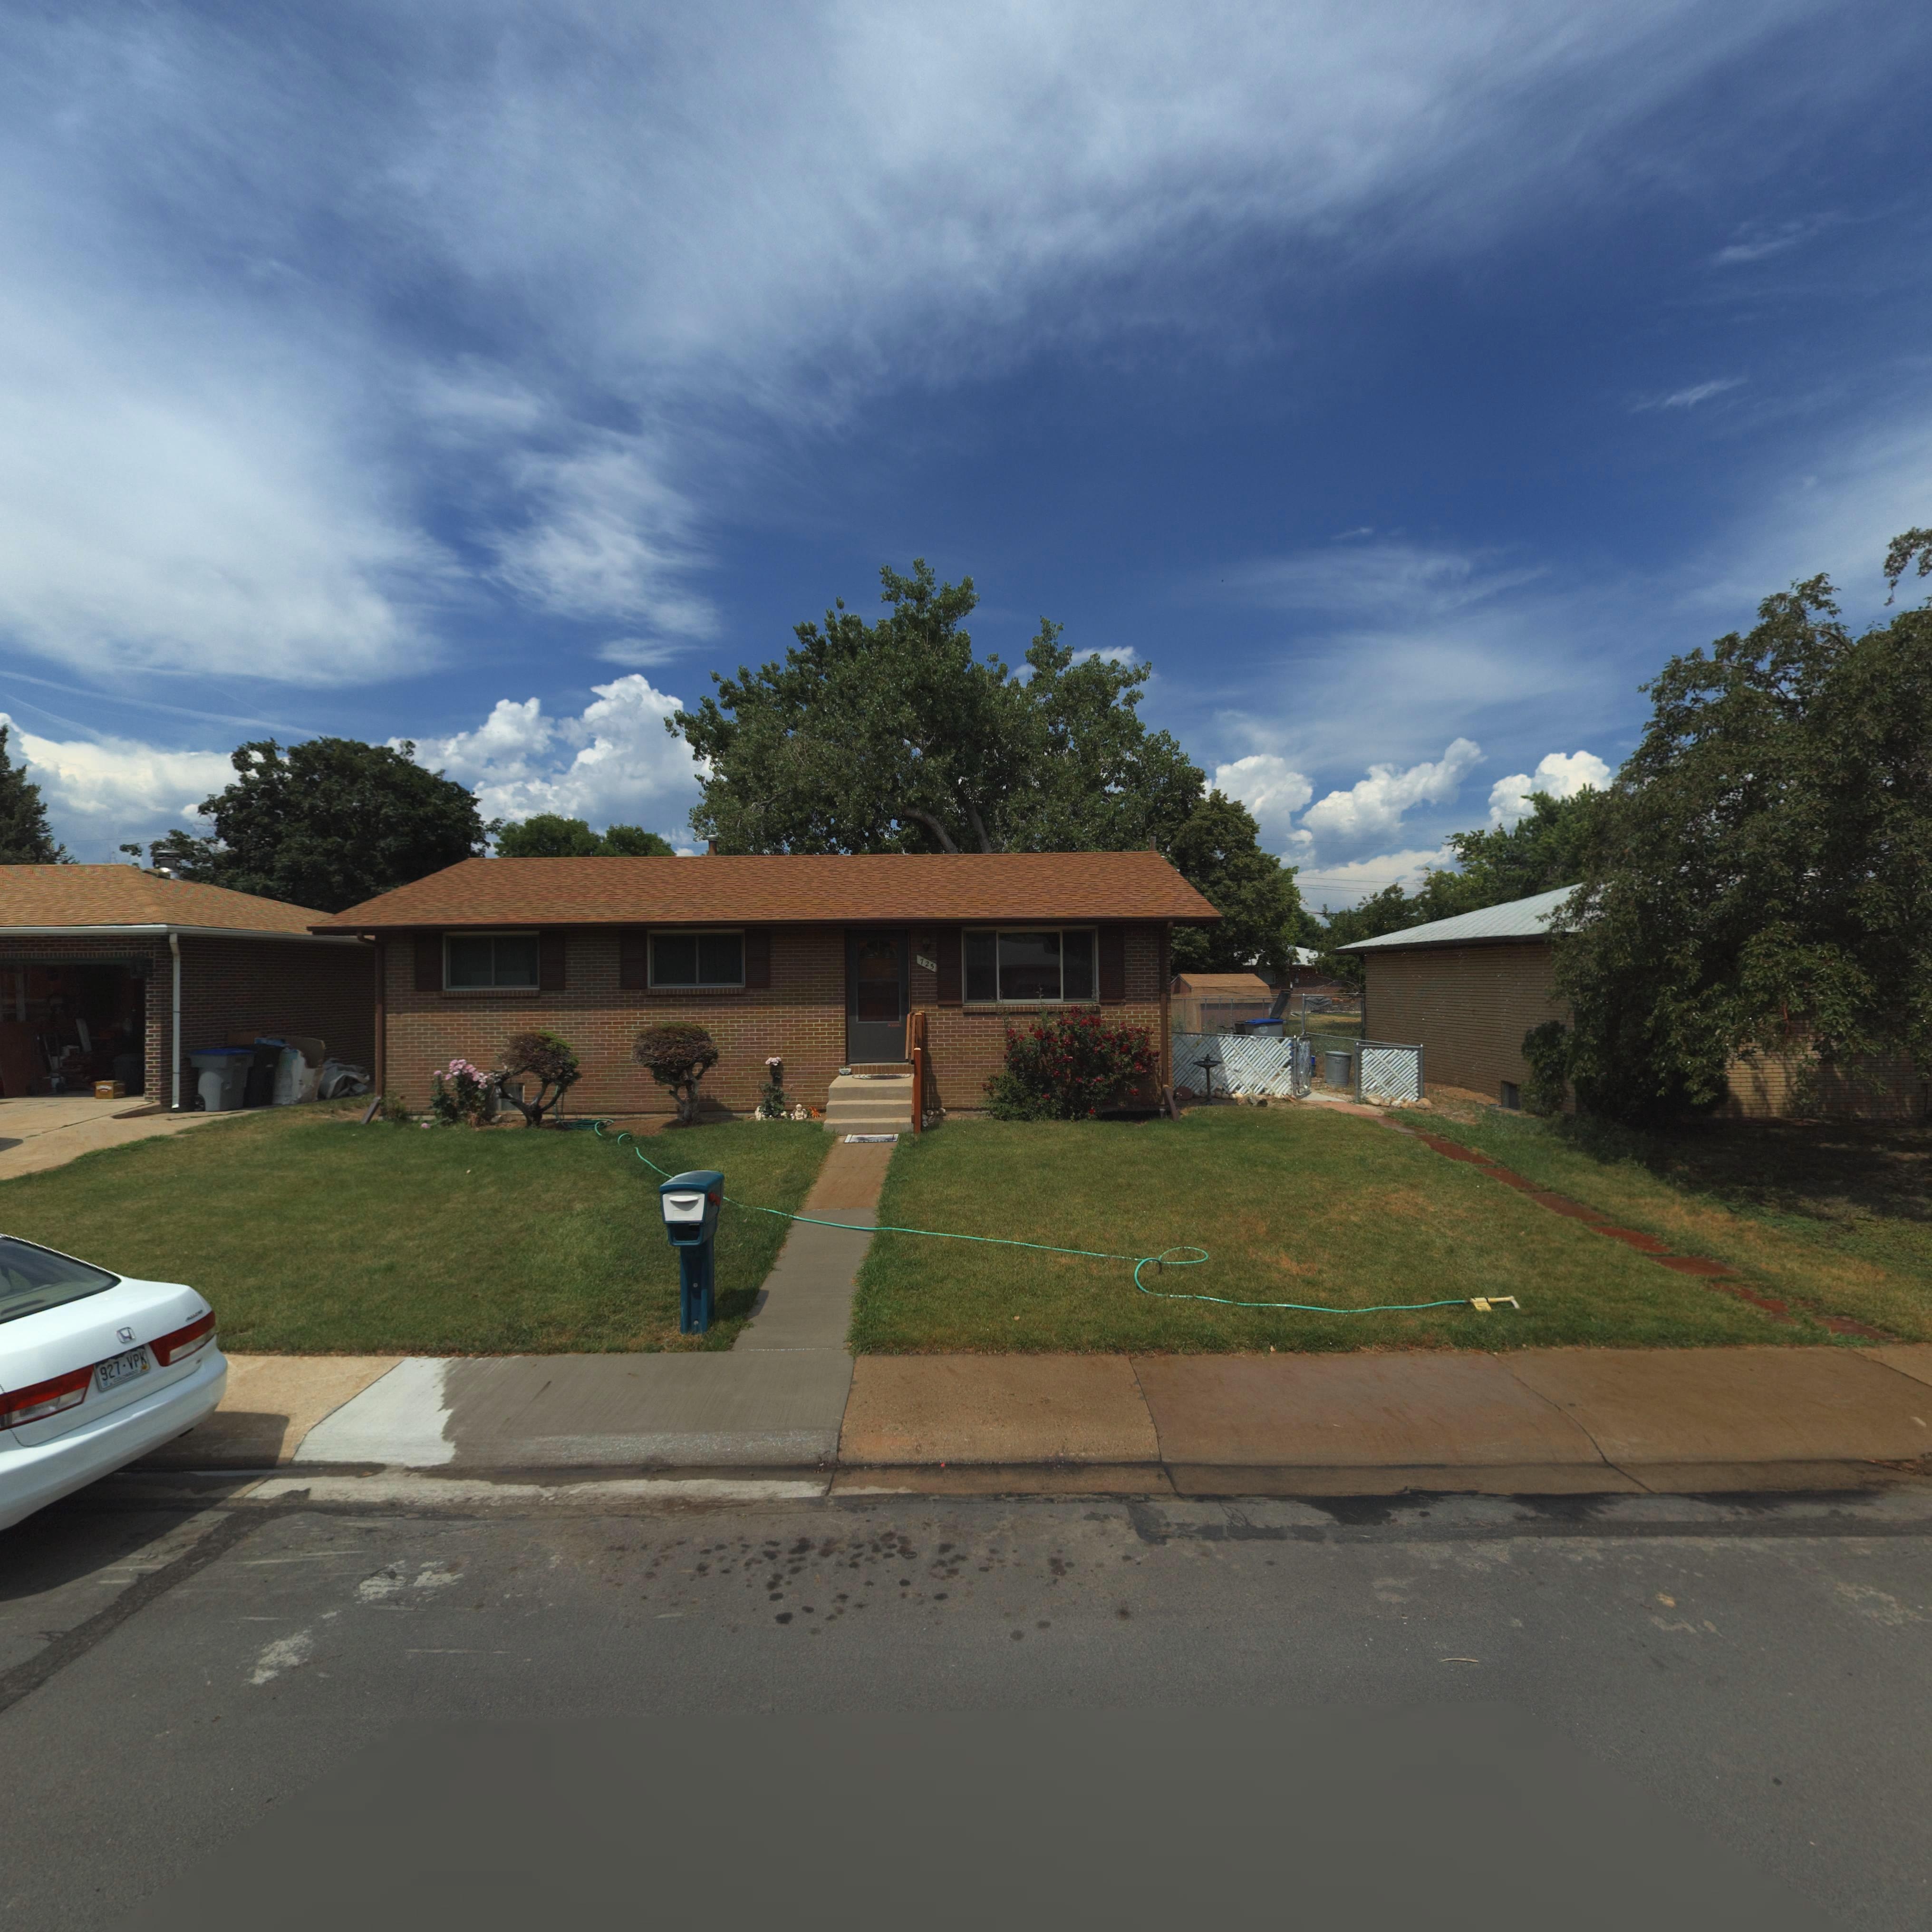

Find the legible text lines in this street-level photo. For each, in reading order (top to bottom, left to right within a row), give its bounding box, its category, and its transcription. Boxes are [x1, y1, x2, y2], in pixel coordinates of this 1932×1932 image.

[917, 956, 936, 971] StreetNumber: 725